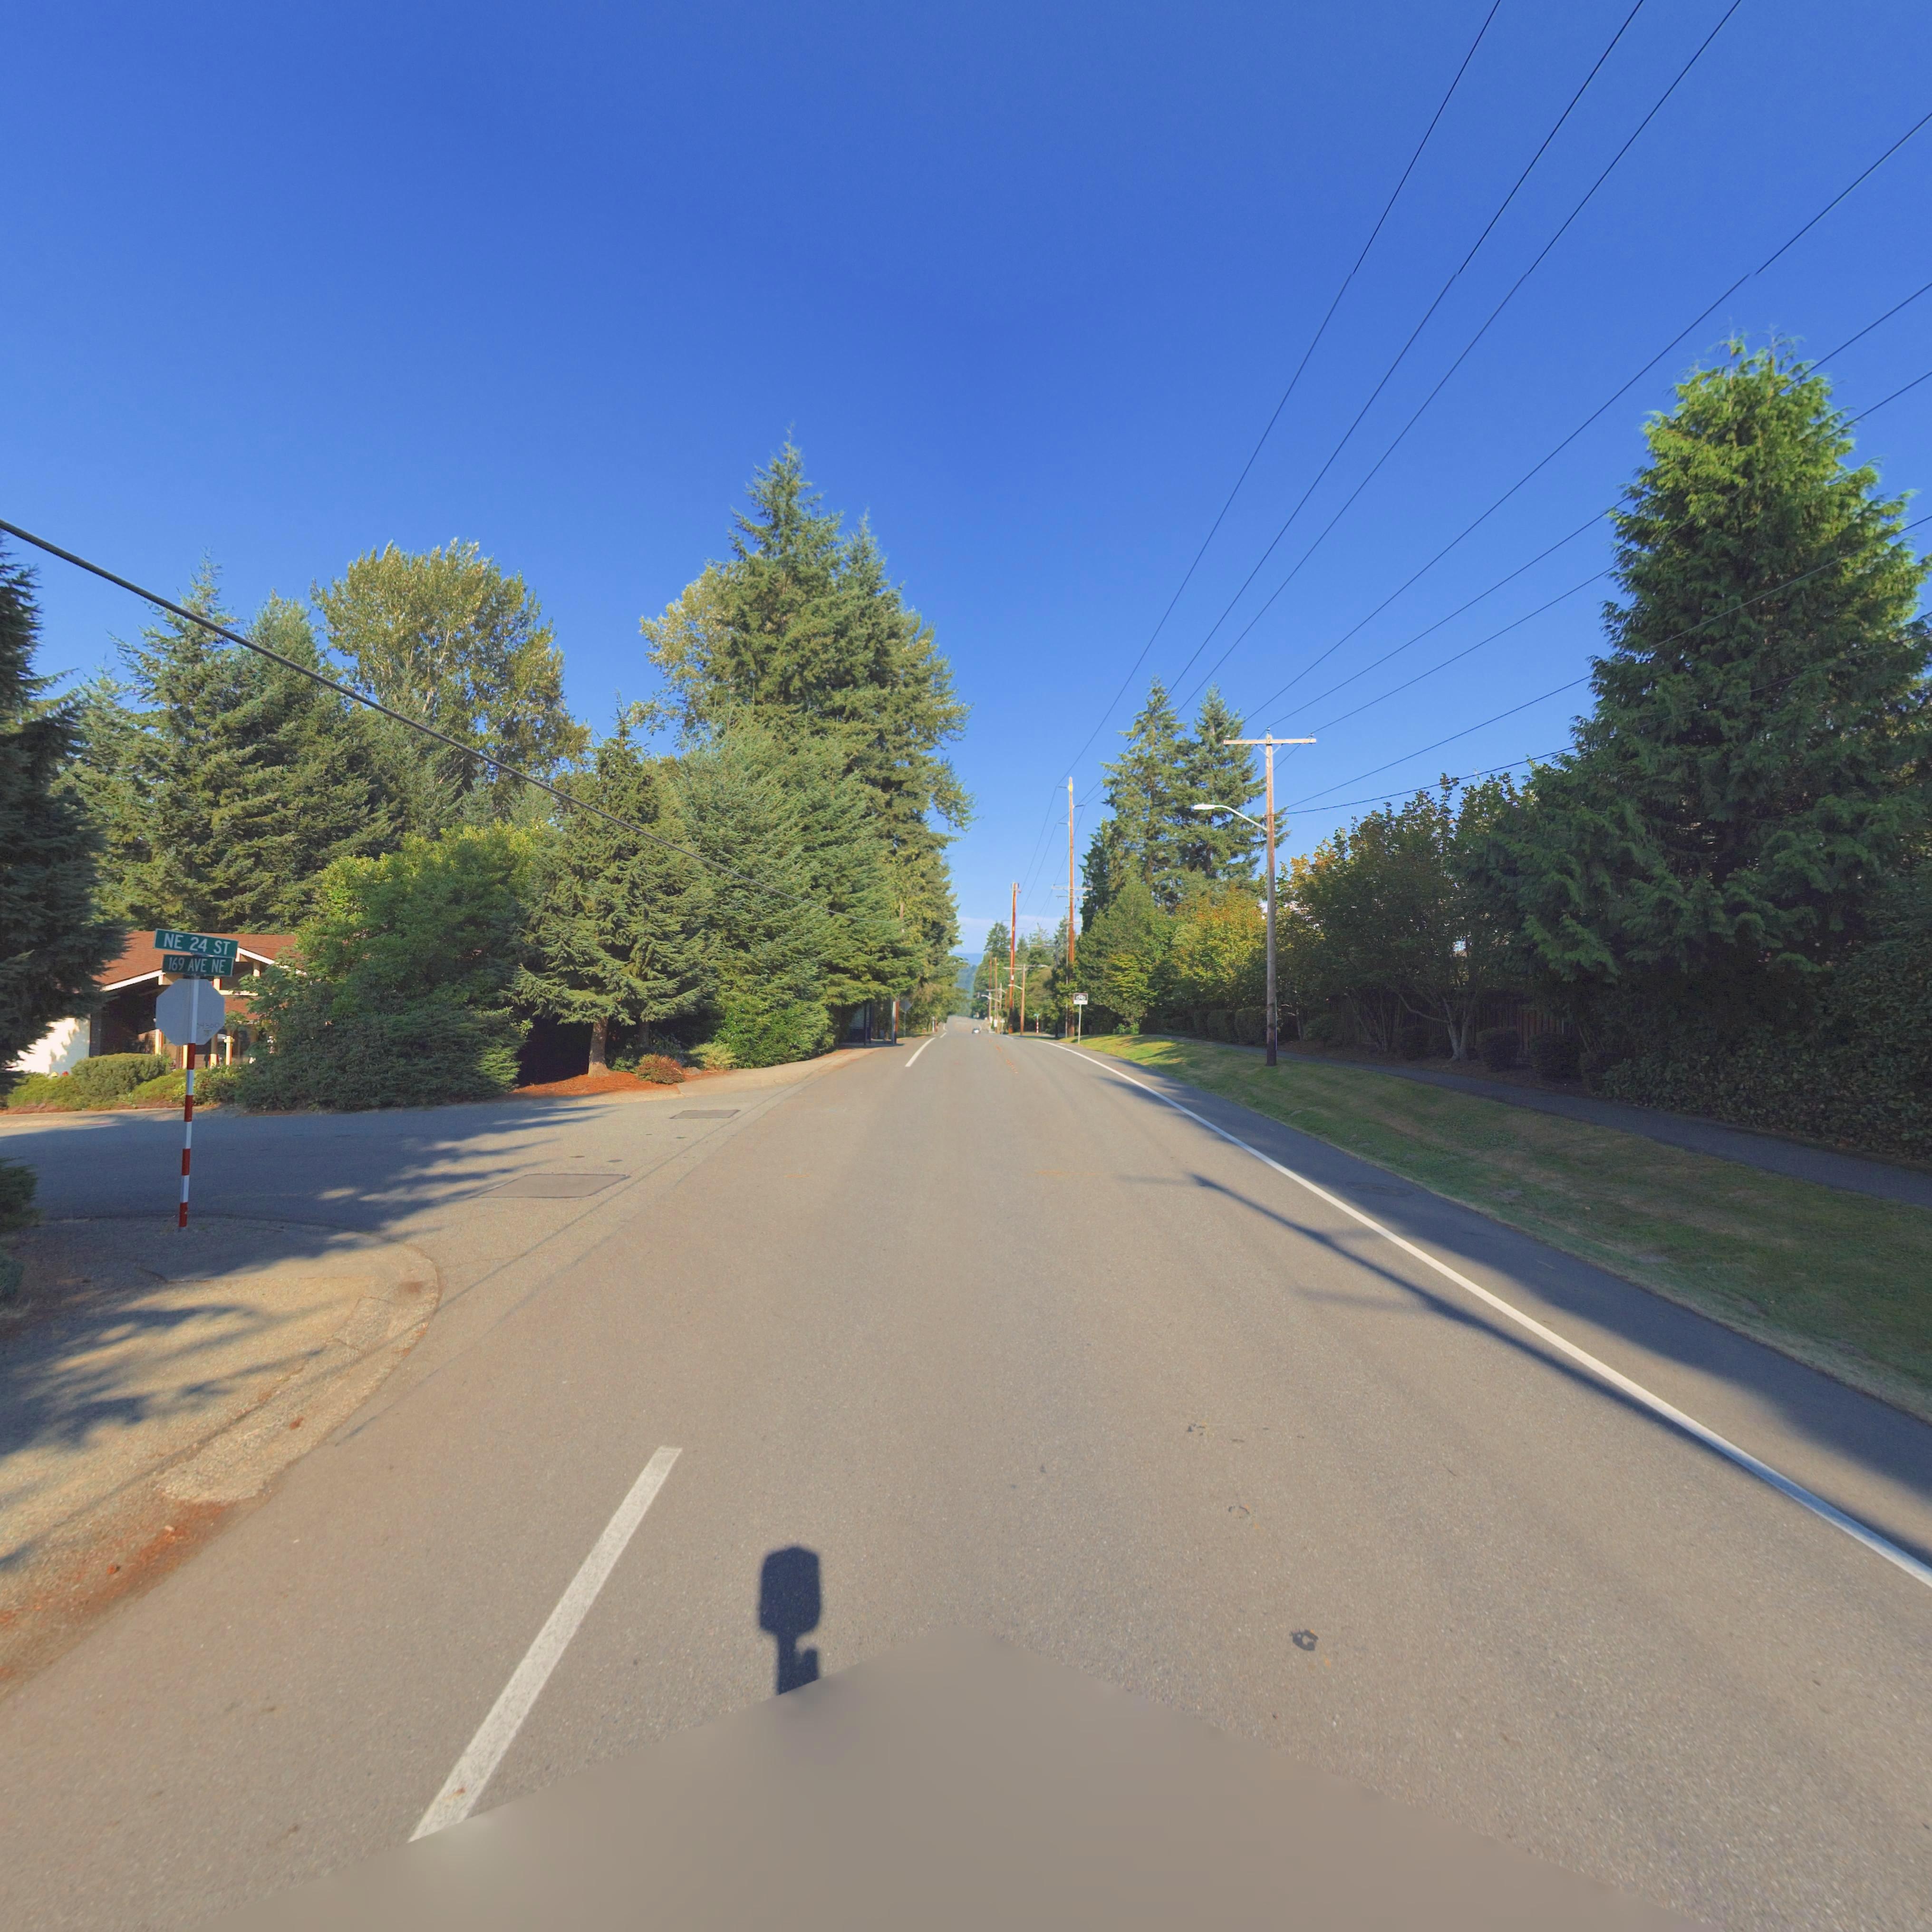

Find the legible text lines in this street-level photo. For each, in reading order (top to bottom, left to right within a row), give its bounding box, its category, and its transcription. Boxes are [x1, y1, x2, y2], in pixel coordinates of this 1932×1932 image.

[165, 956, 226, 974] StreetName: 169 AVE NE